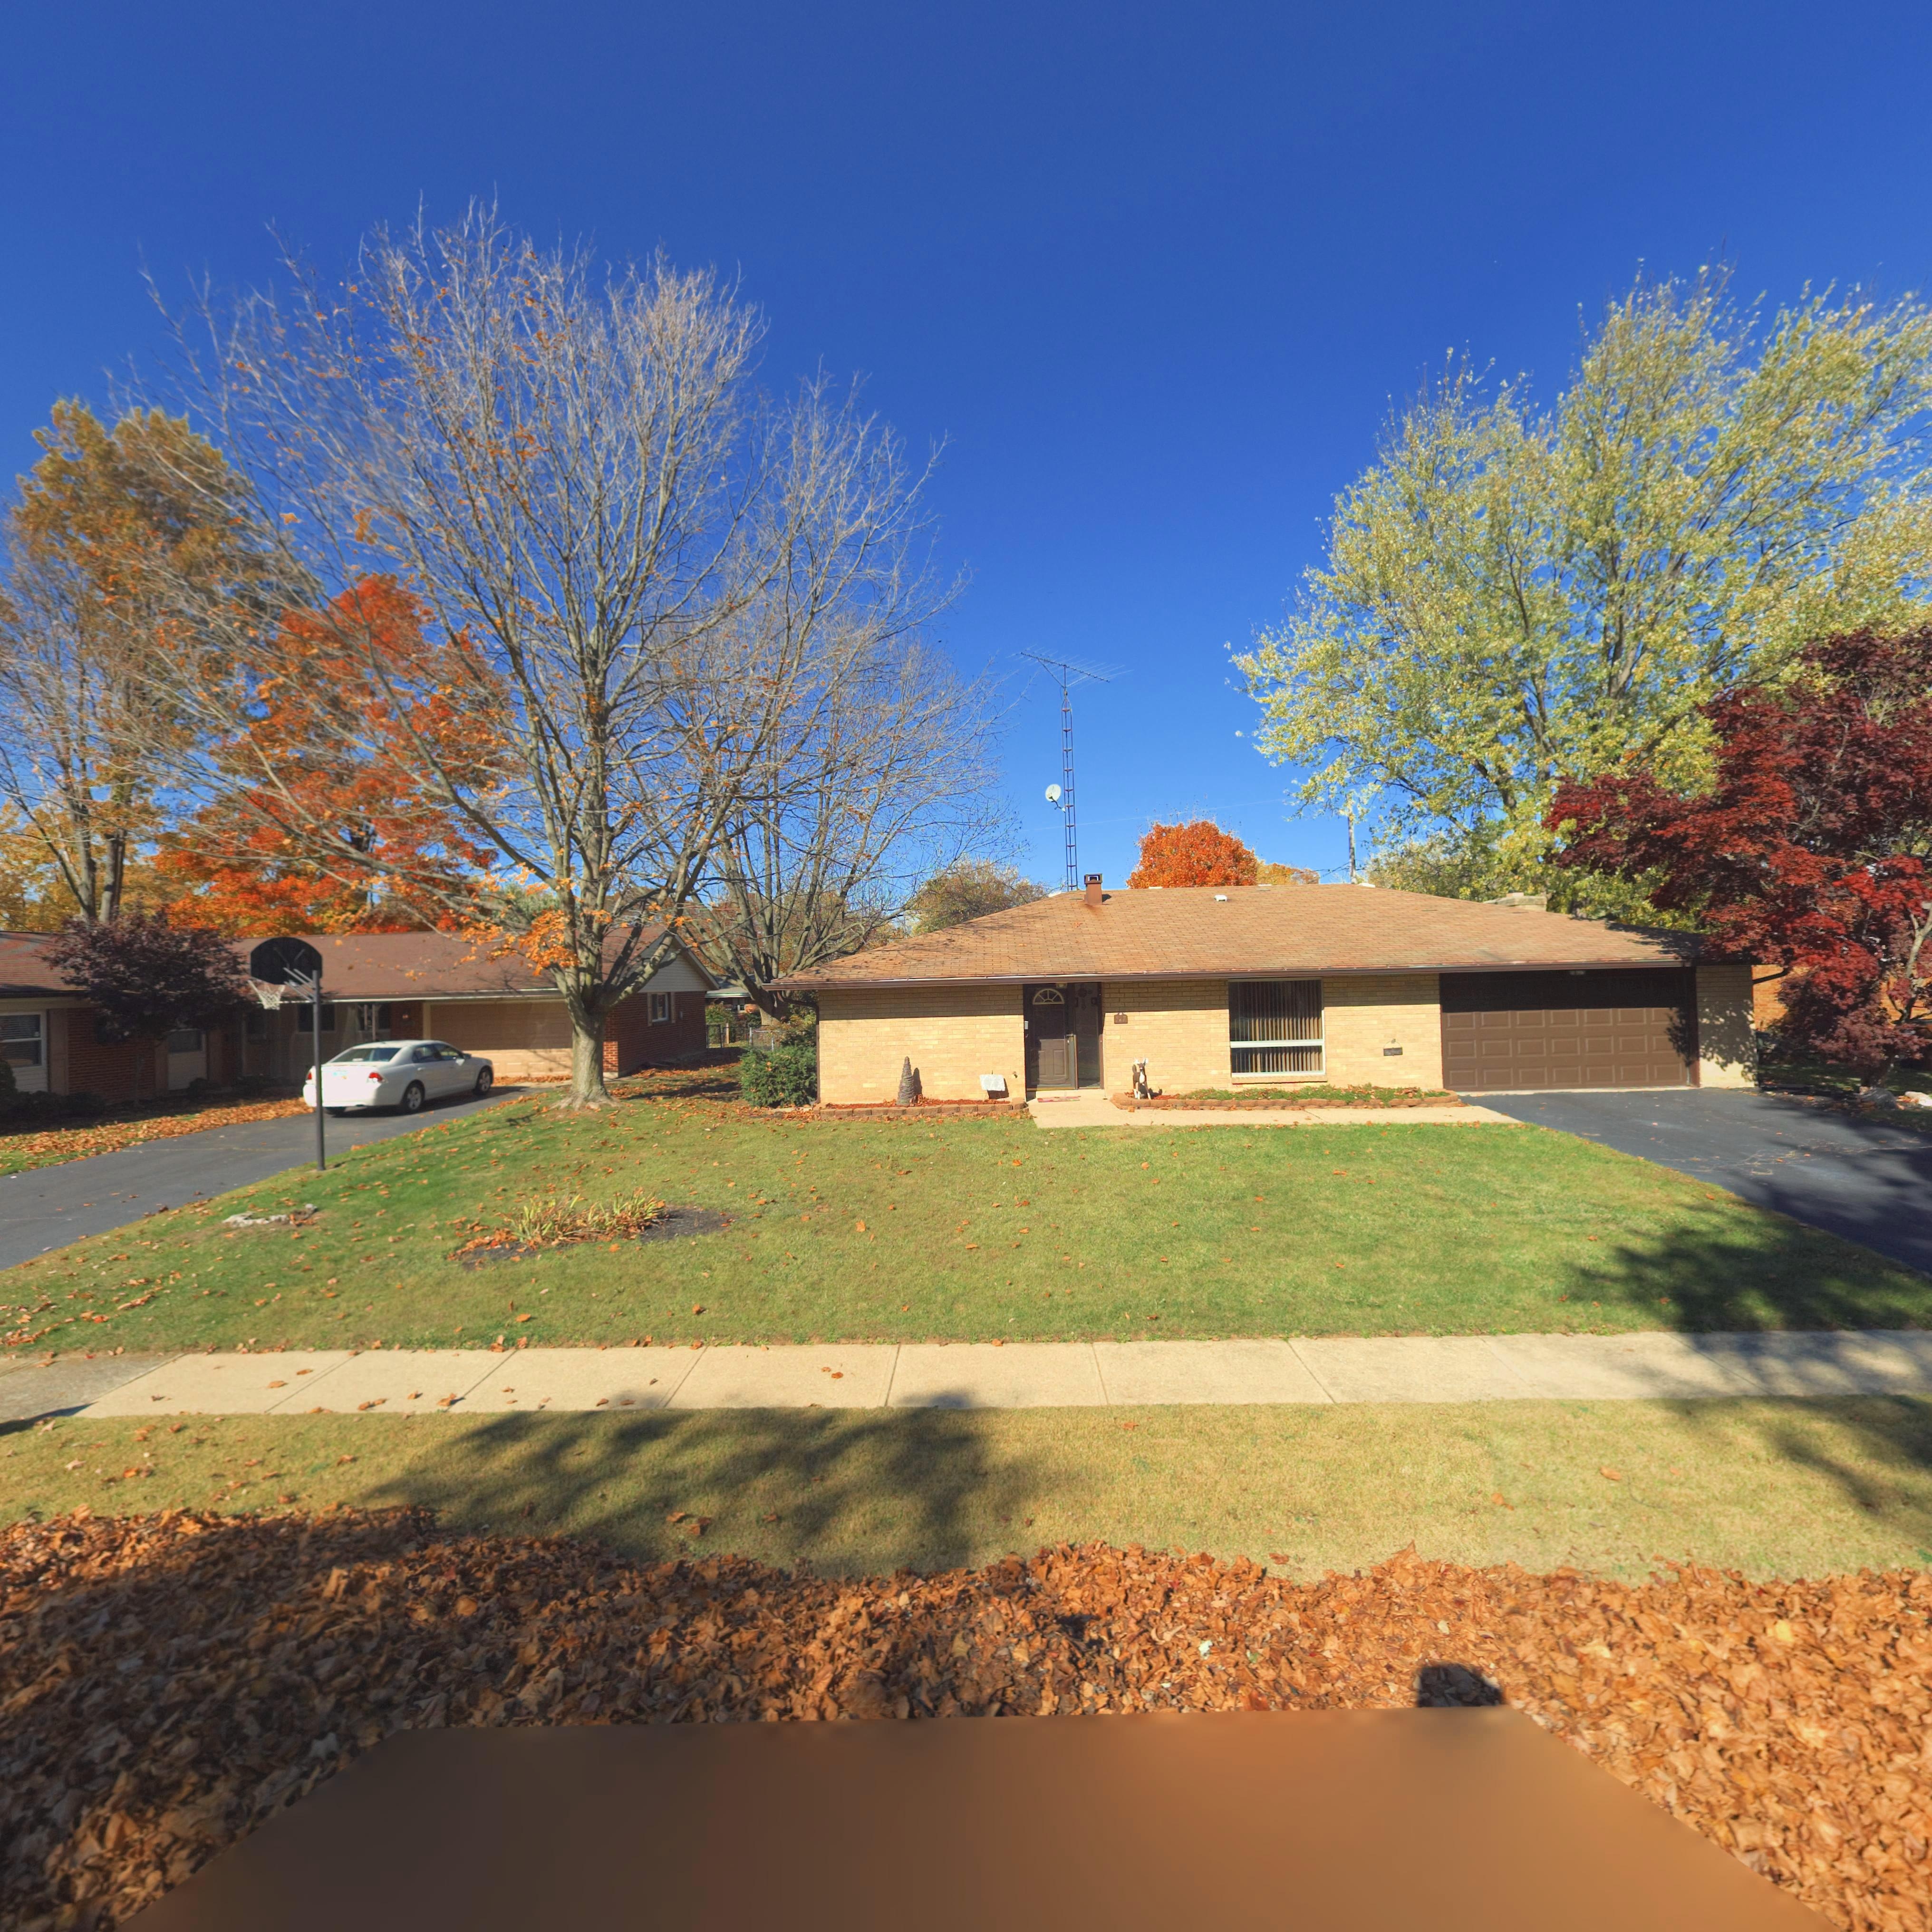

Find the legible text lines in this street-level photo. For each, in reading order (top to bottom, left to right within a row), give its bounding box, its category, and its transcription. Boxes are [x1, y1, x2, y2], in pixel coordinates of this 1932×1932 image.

[1114, 1015, 1128, 1023] StreetNumber: 527